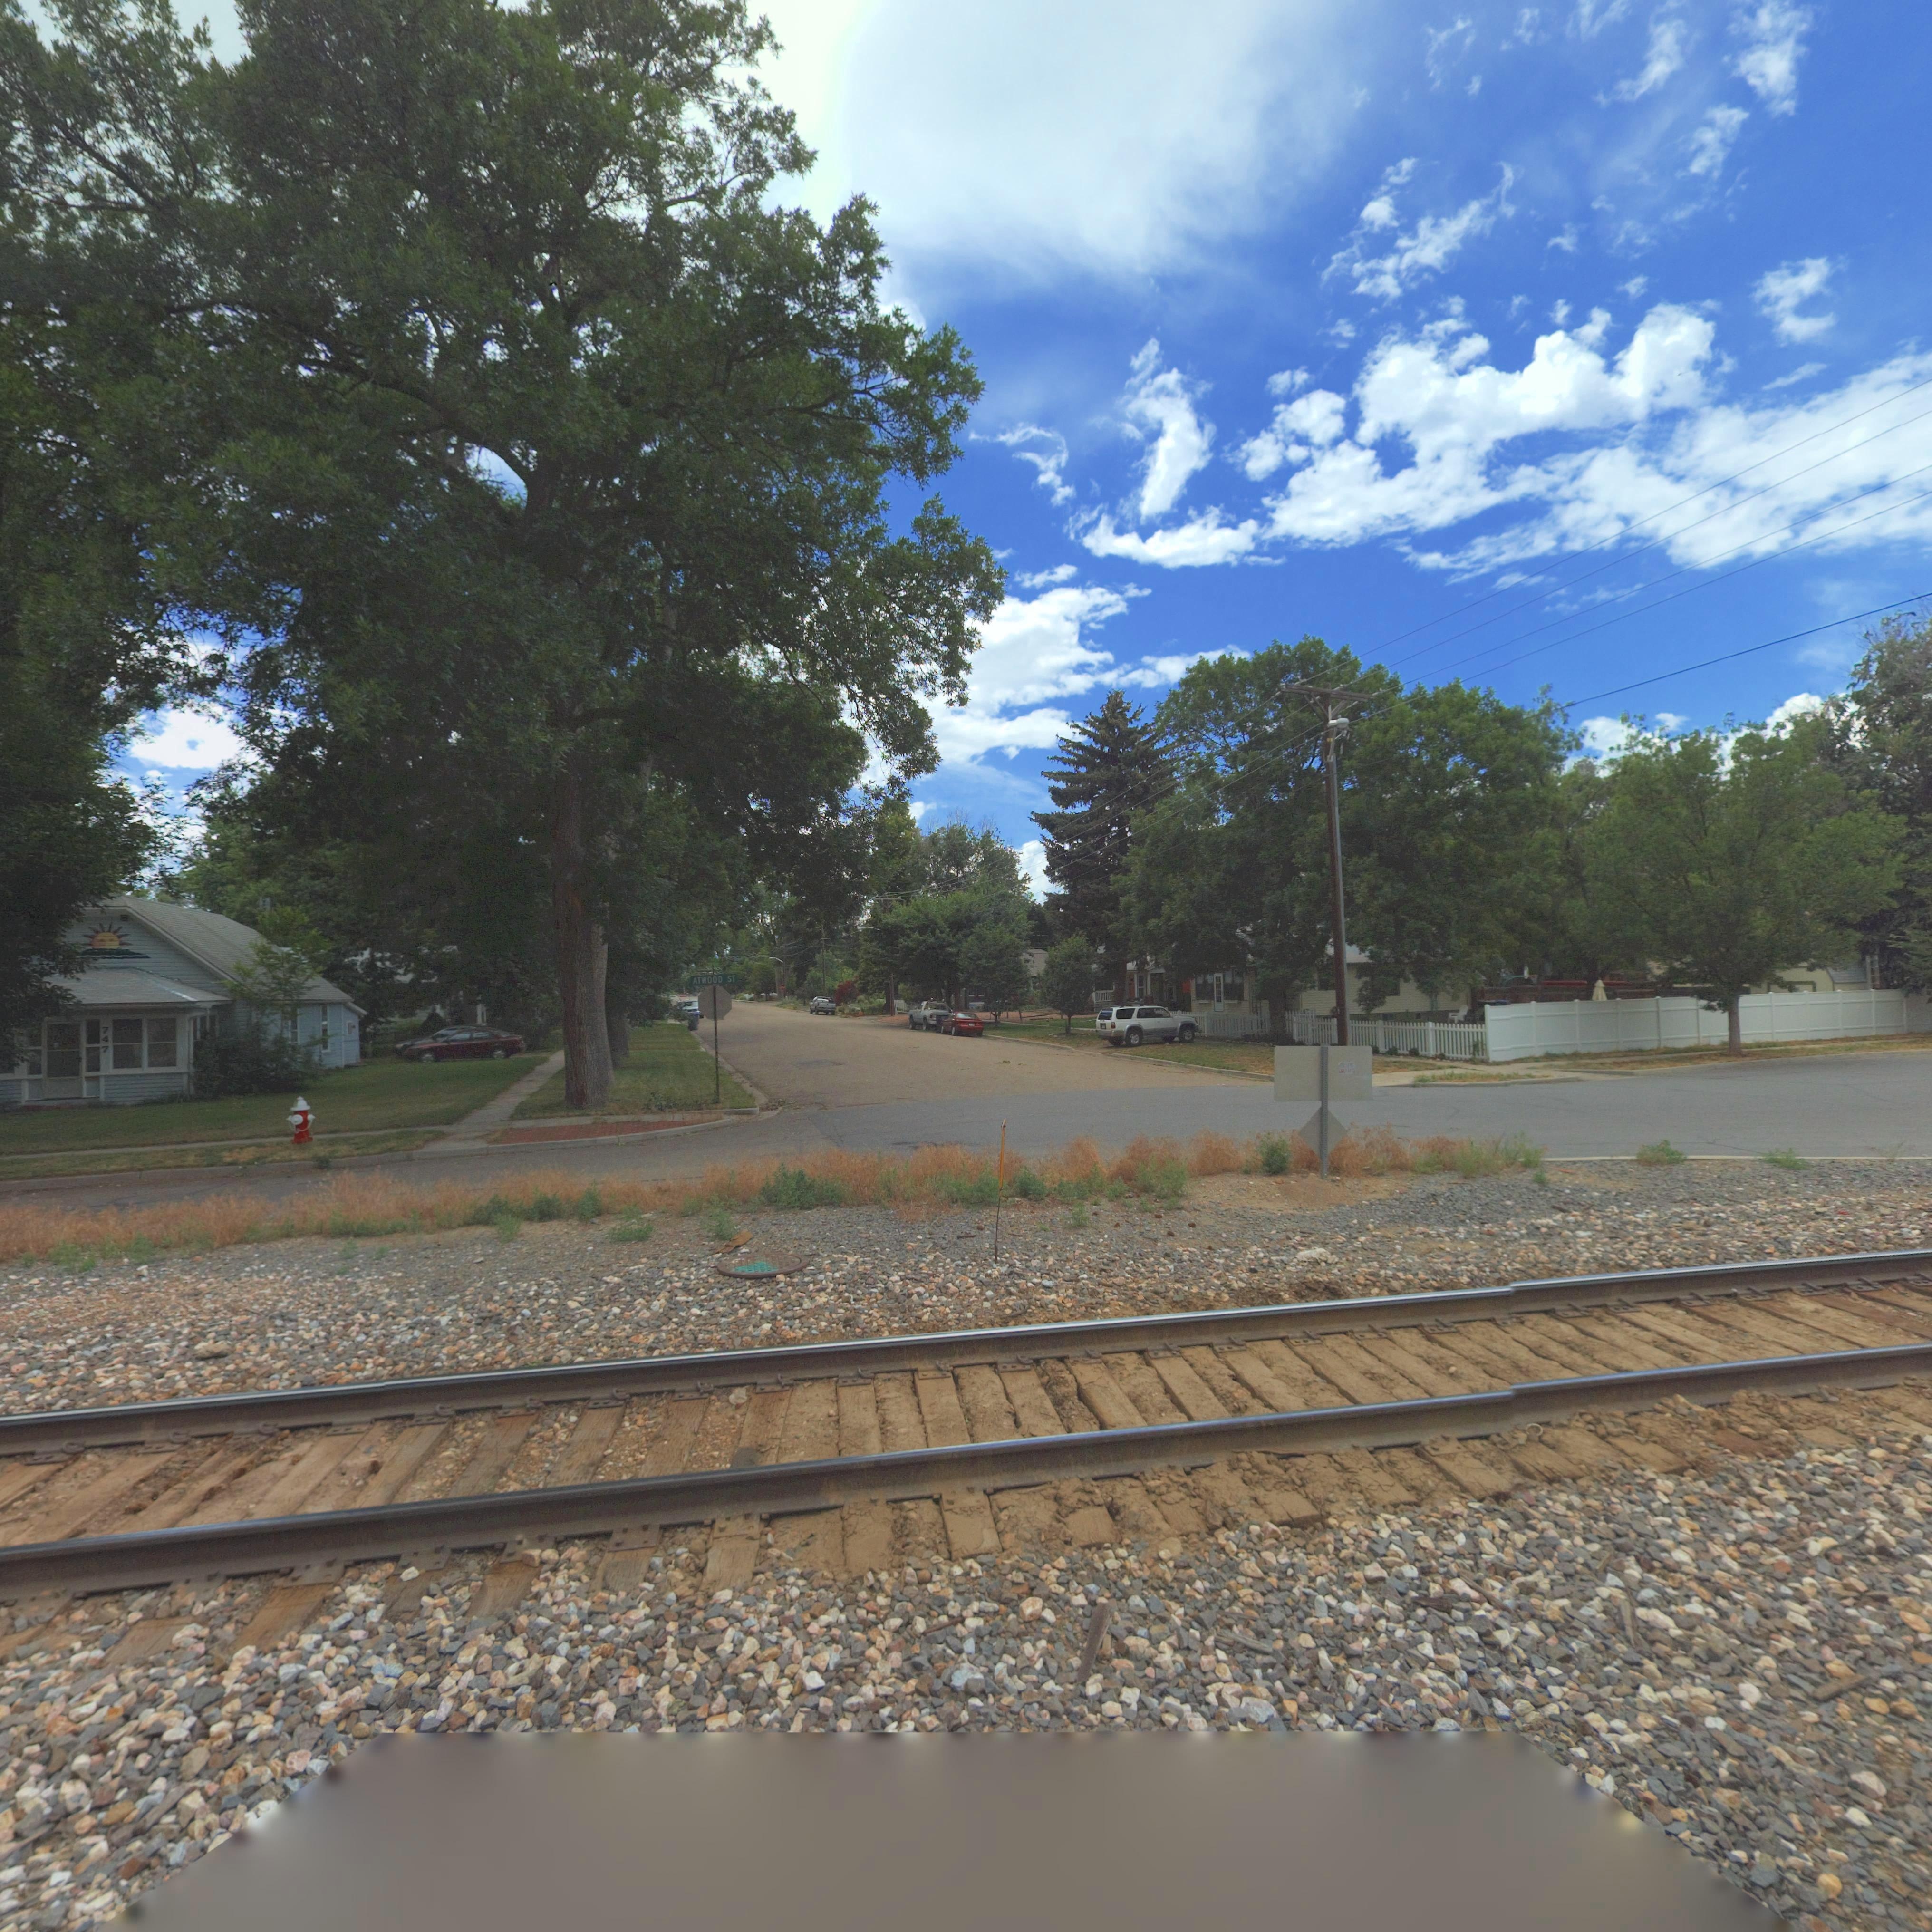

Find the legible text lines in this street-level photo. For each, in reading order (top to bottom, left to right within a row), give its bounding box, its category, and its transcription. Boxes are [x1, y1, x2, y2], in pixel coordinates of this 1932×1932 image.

[692, 975, 735, 985] StreetName: ATWOOD ST